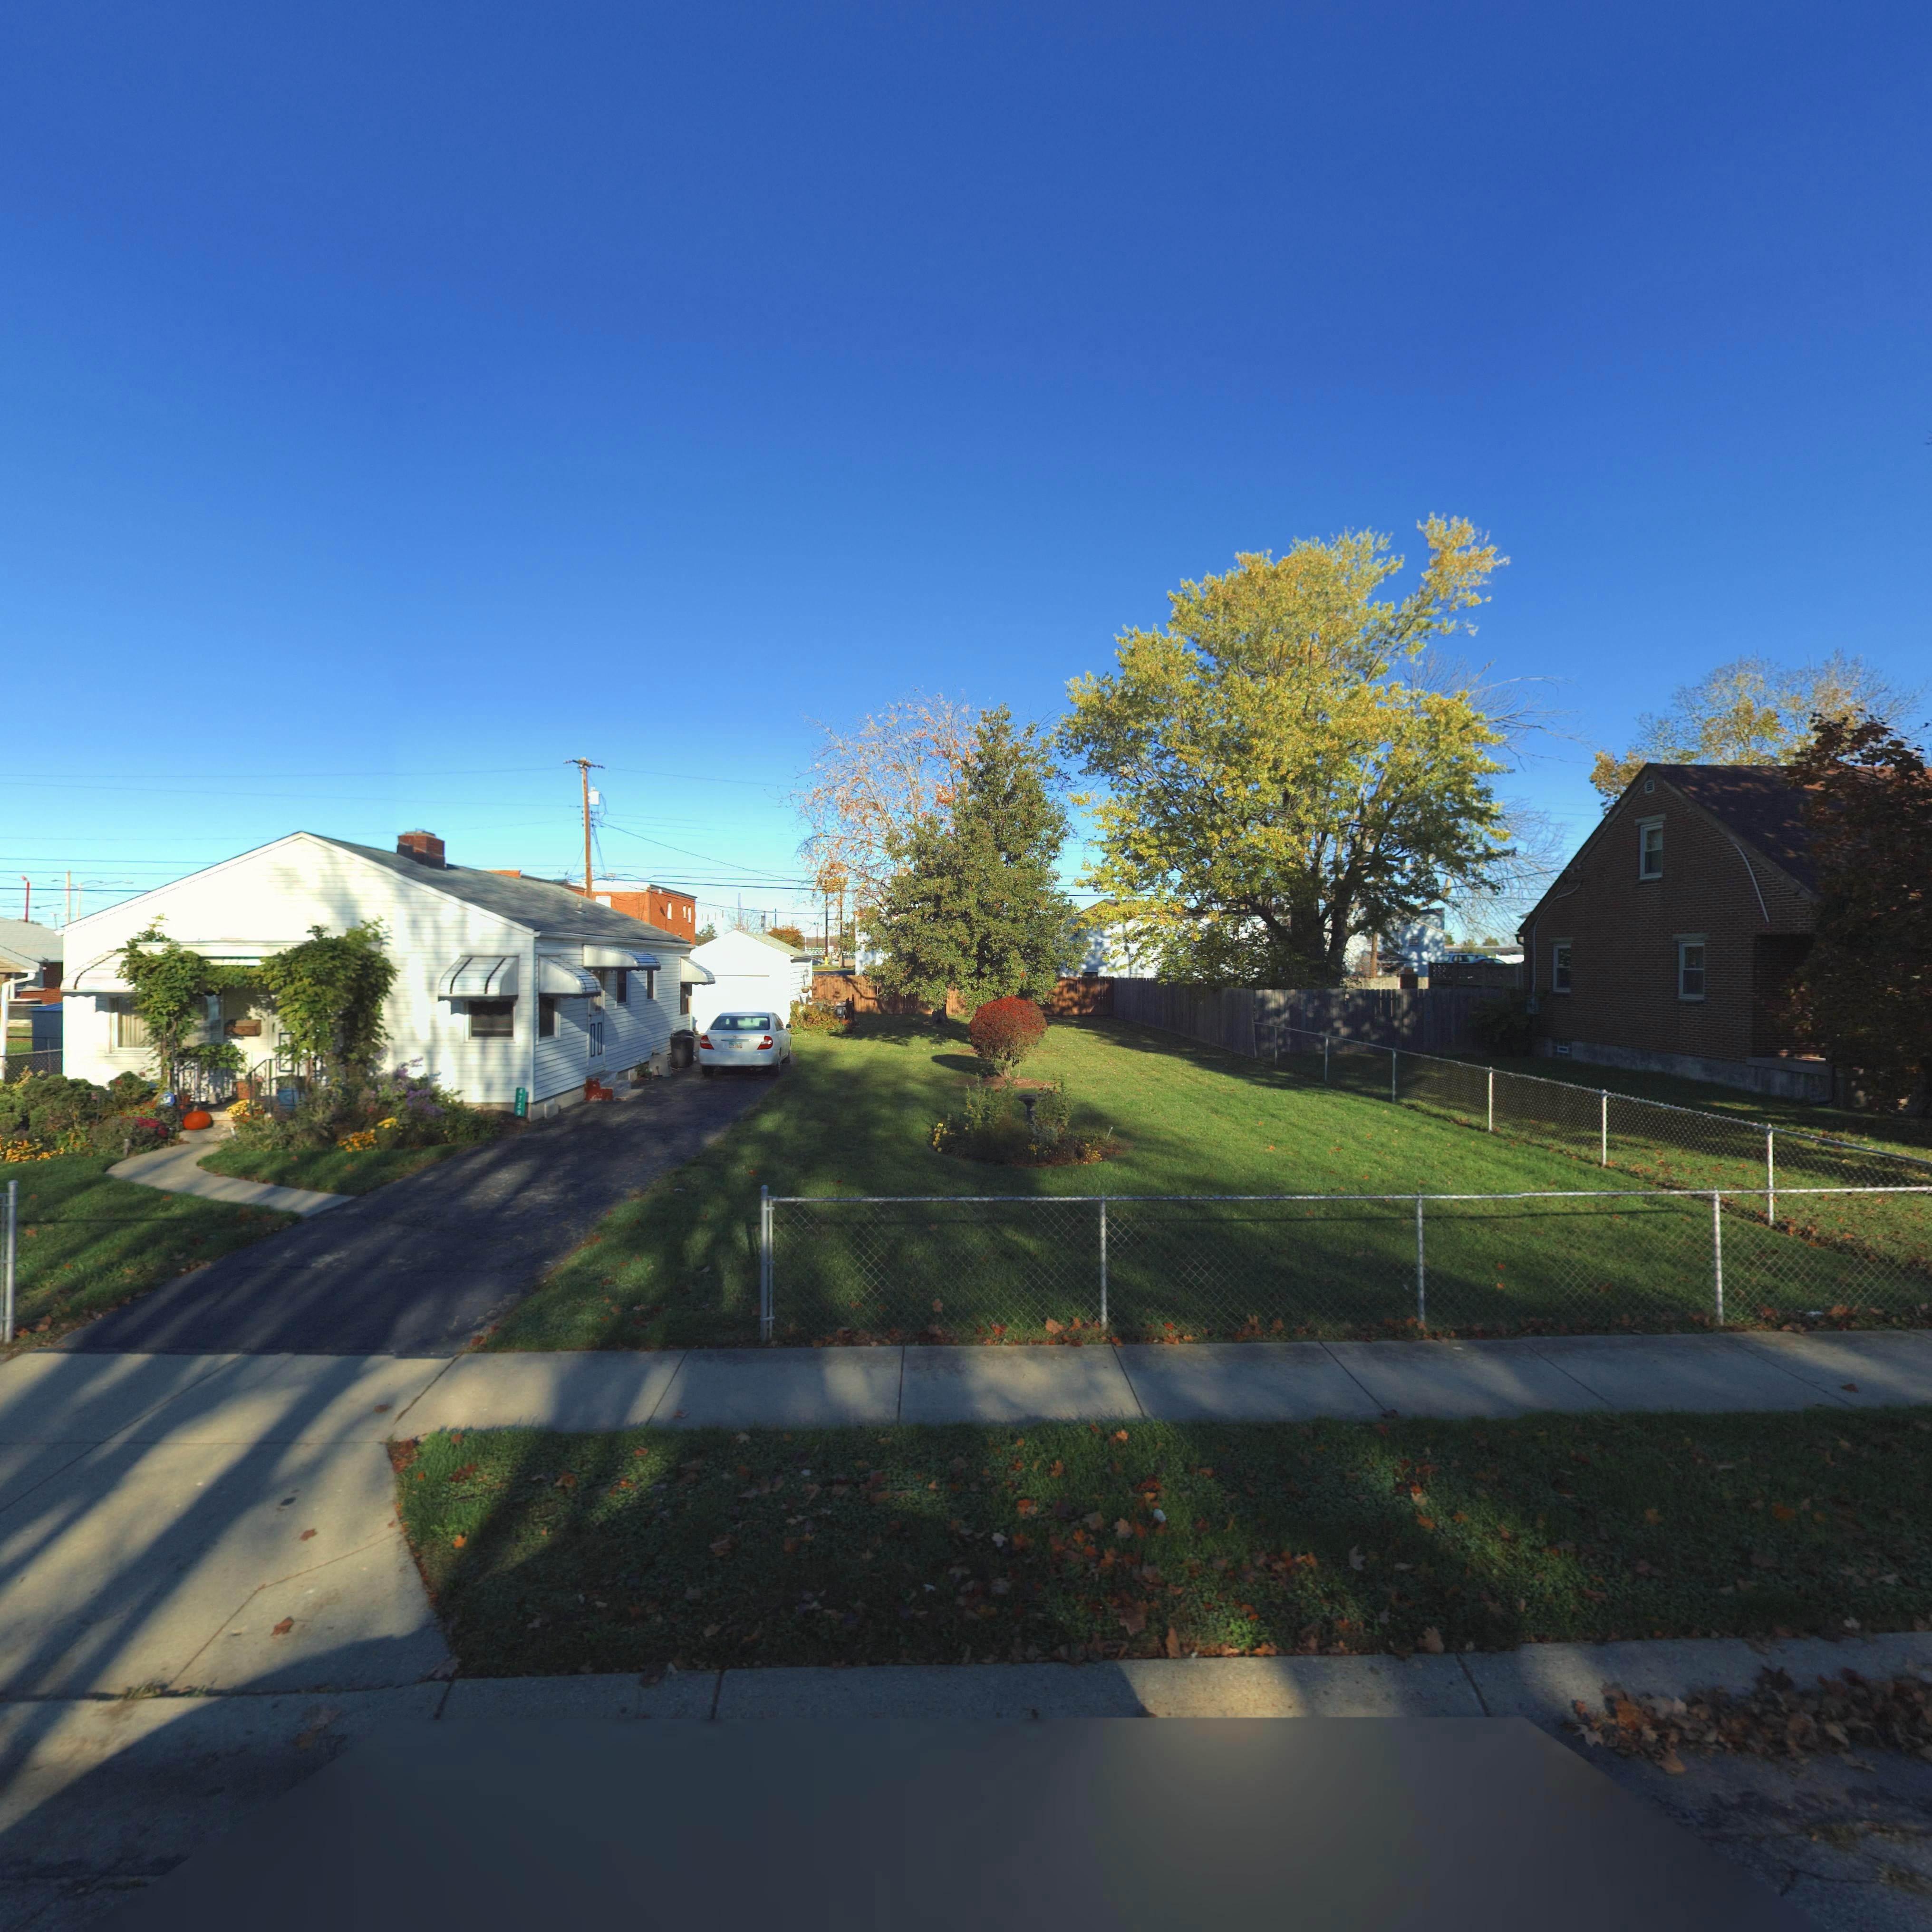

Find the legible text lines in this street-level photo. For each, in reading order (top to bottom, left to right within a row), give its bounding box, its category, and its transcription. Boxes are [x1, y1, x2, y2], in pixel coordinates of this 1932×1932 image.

[516, 1087, 523, 1117] StreetNumber: 4729